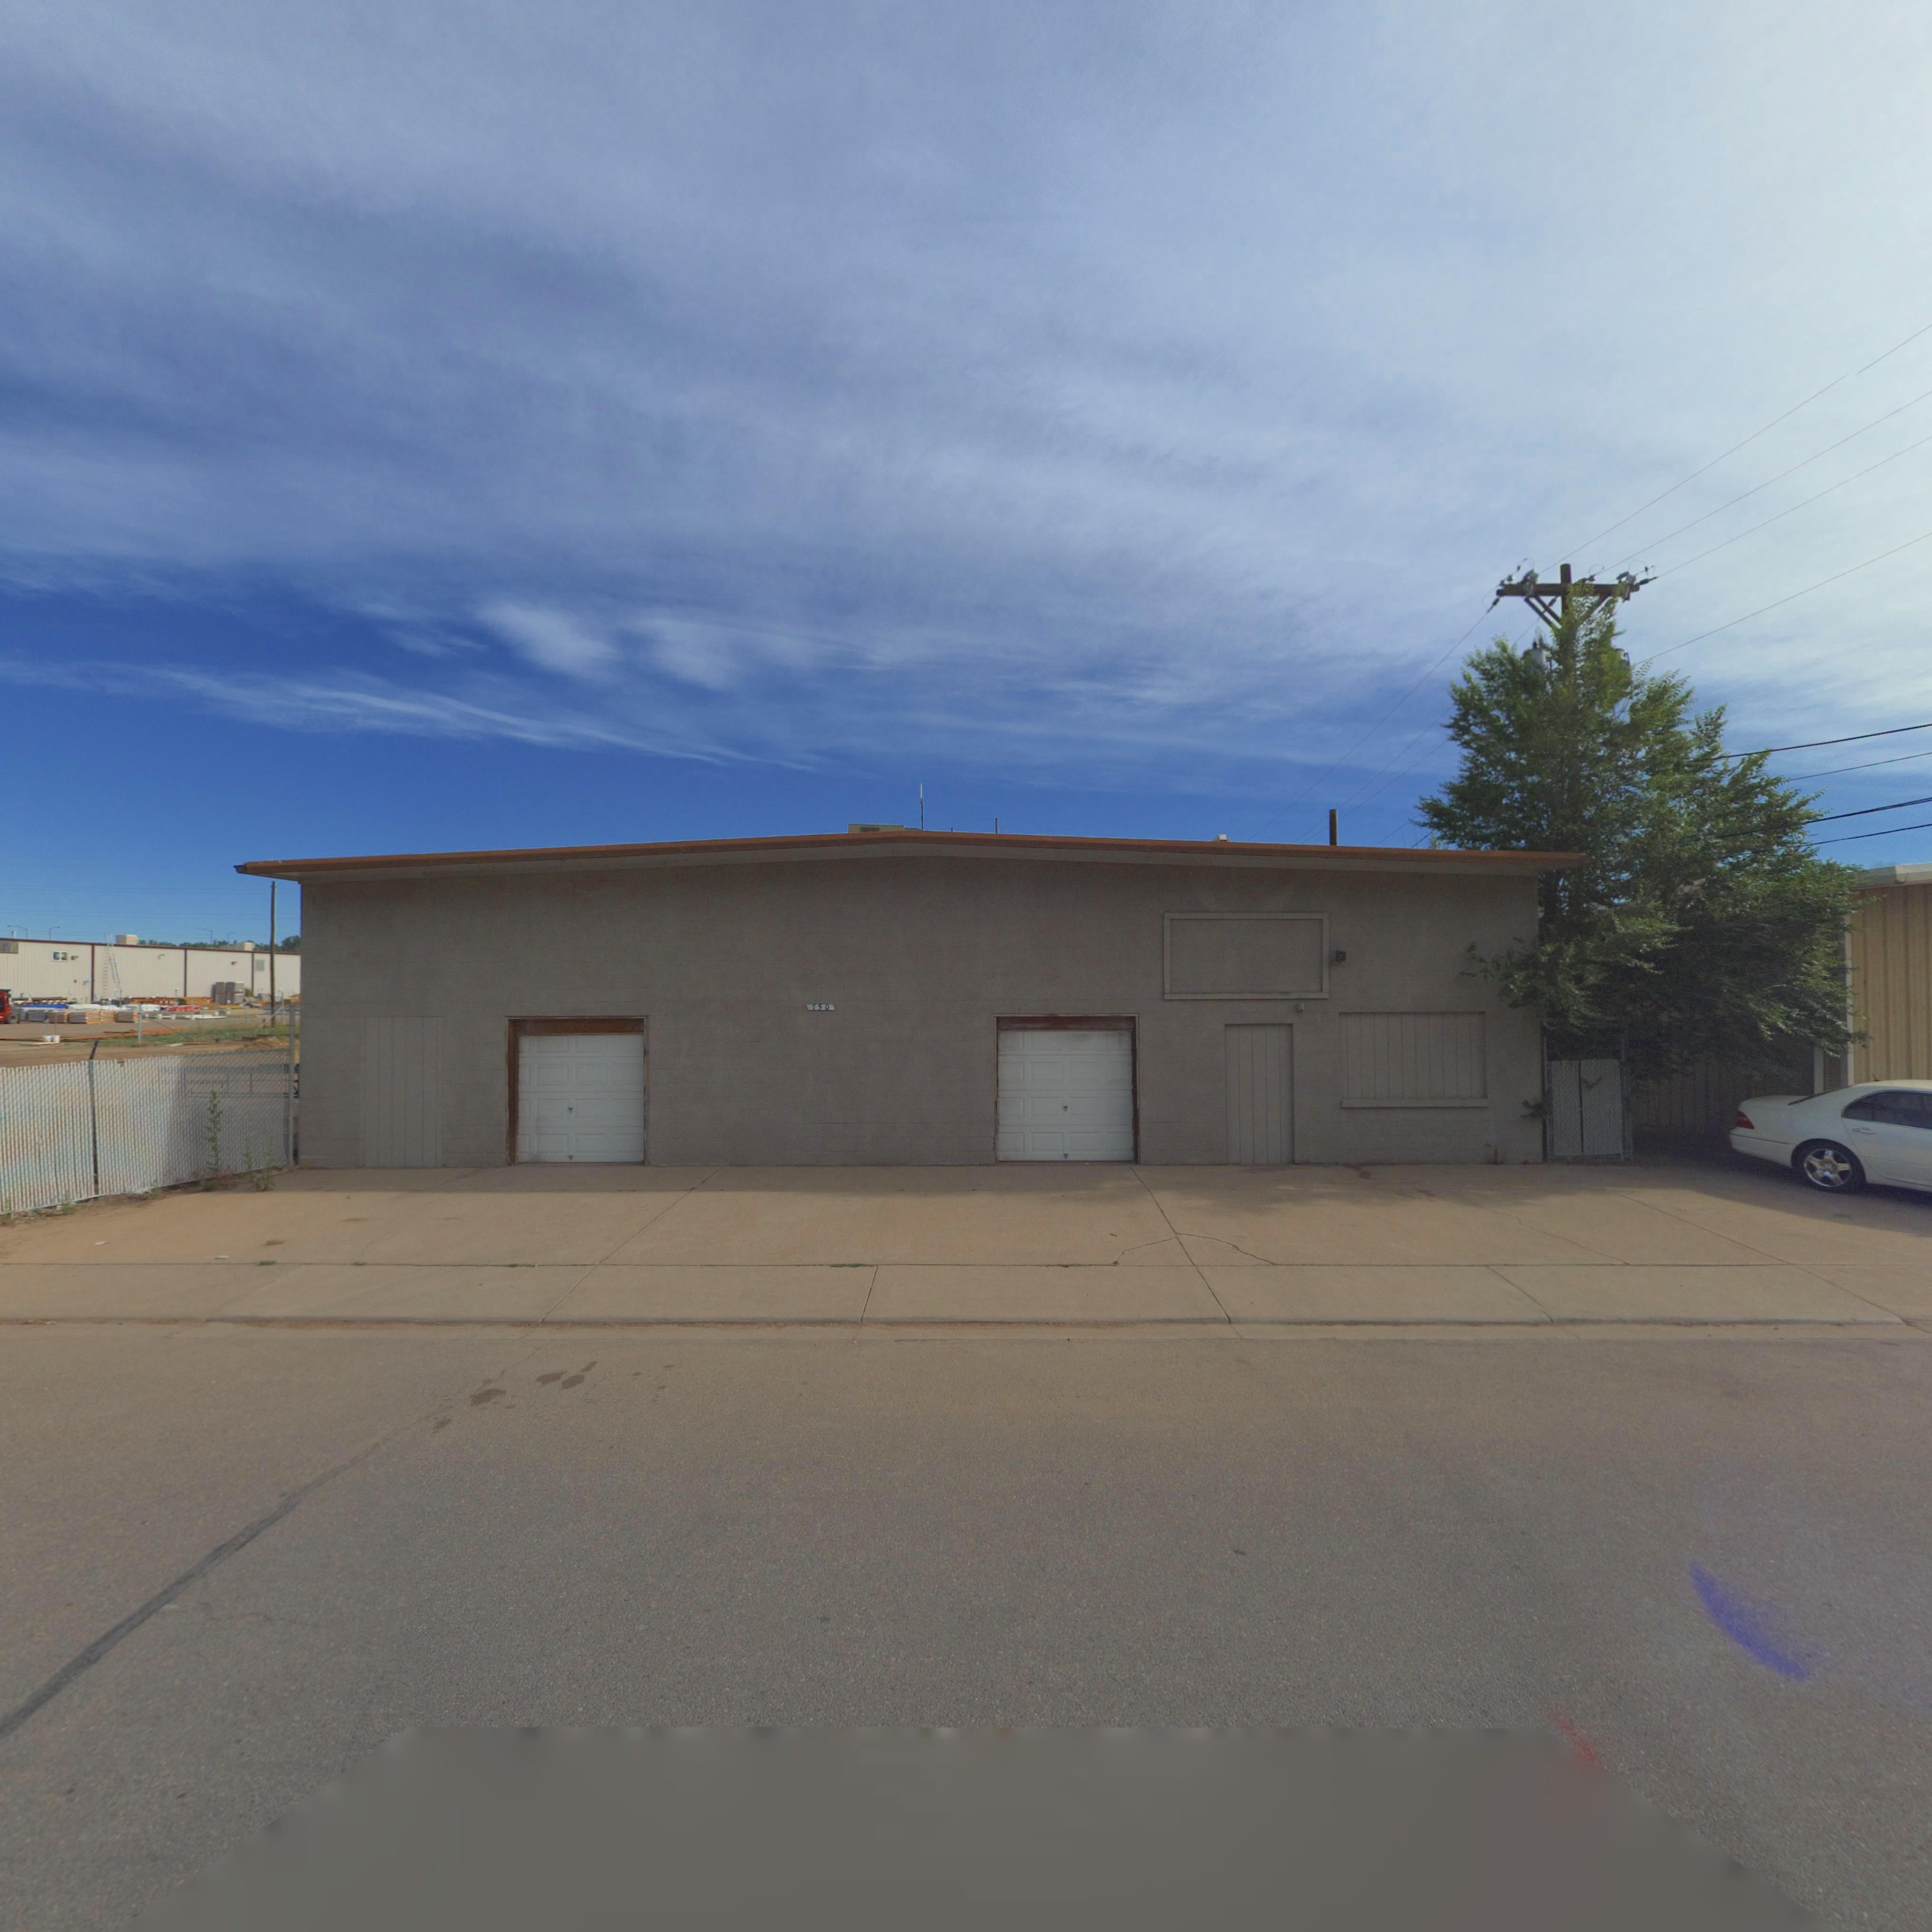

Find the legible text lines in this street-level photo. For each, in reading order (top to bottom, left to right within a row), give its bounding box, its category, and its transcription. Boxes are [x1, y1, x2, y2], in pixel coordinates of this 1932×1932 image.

[812, 1004, 829, 1010] StreetNumber: 750